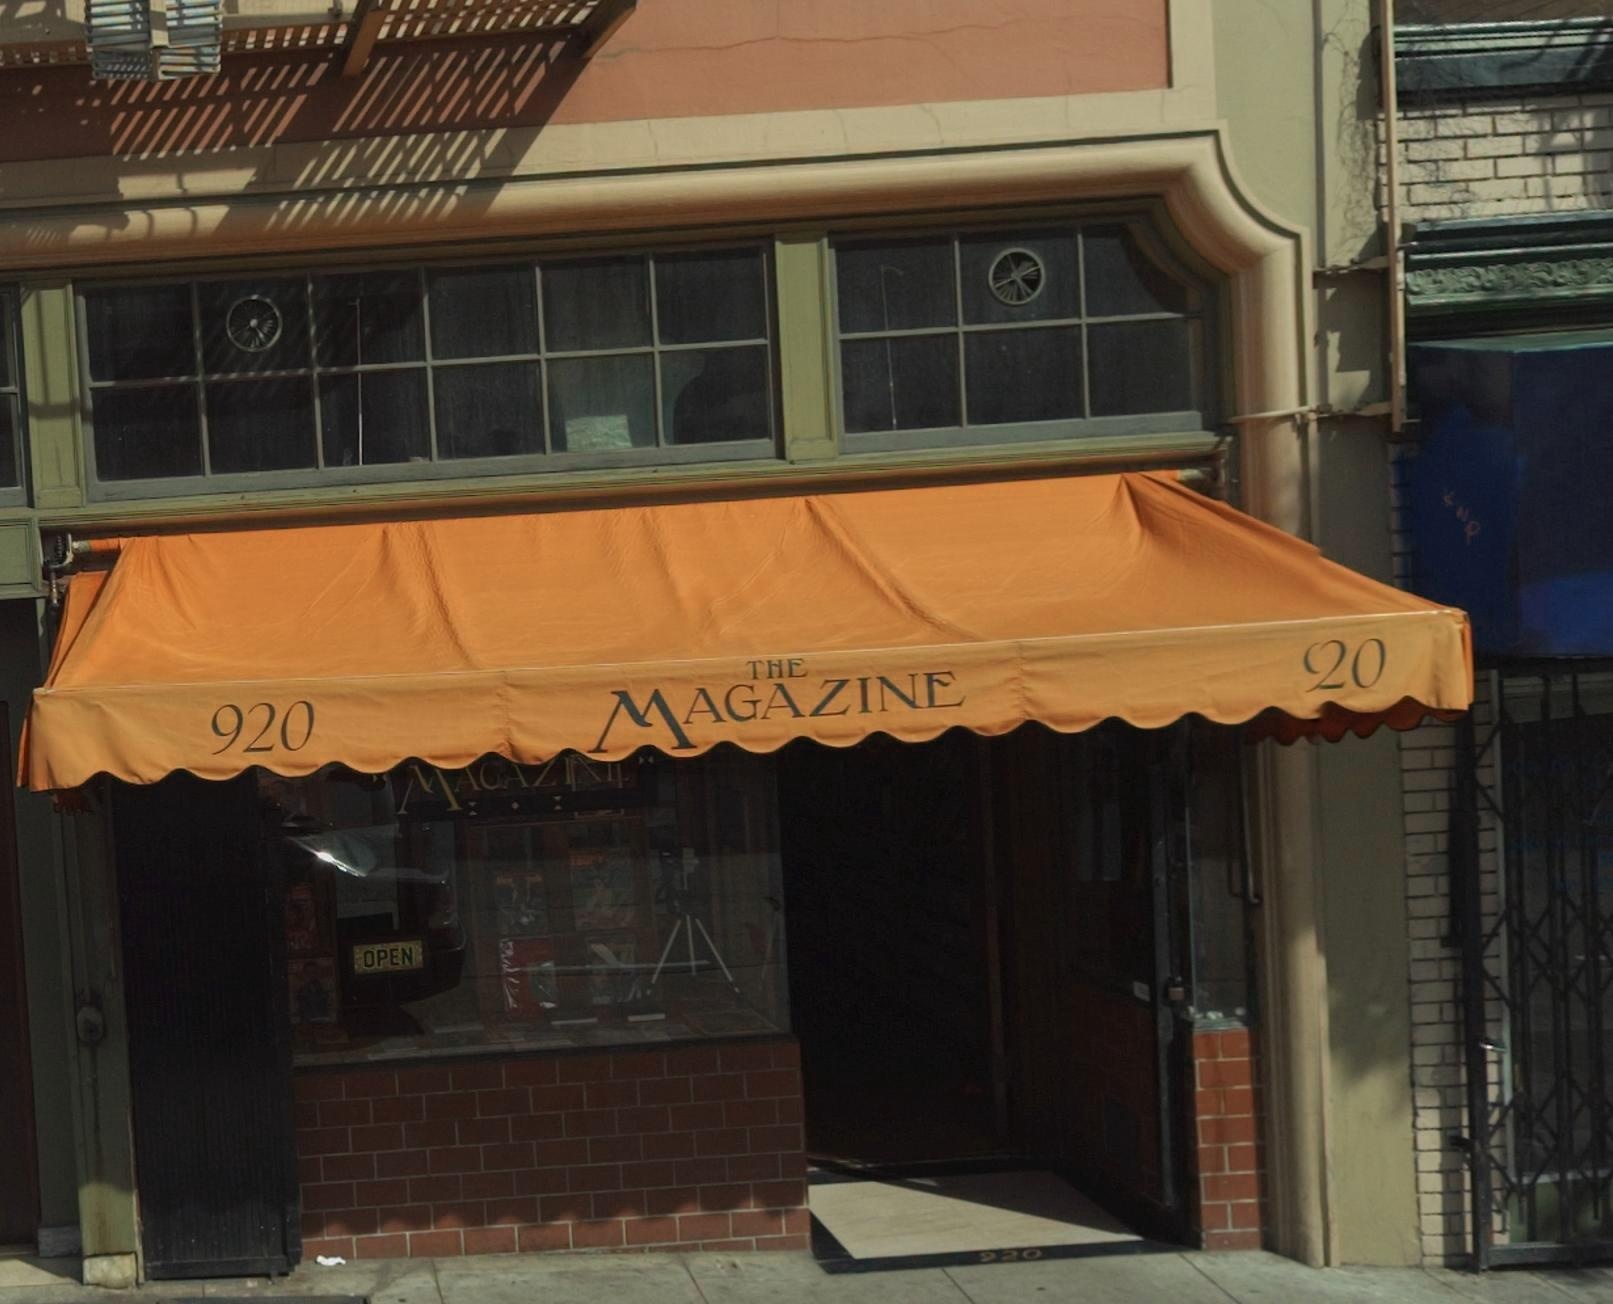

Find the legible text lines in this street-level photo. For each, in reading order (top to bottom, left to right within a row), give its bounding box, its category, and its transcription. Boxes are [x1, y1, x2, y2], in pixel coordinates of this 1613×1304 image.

[1461, 517, 1484, 546] None: P
[742, 654, 813, 684] BusinessName: THE
[1346, 633, 1389, 693] StreetNumber: 0
[204, 693, 320, 762] StreetNumber: 920
[581, 665, 973, 758] BusinessName: MAGAZINE
[390, 754, 573, 819] BusinessName: MACA*I
[359, 944, 416, 971] None: OPEN